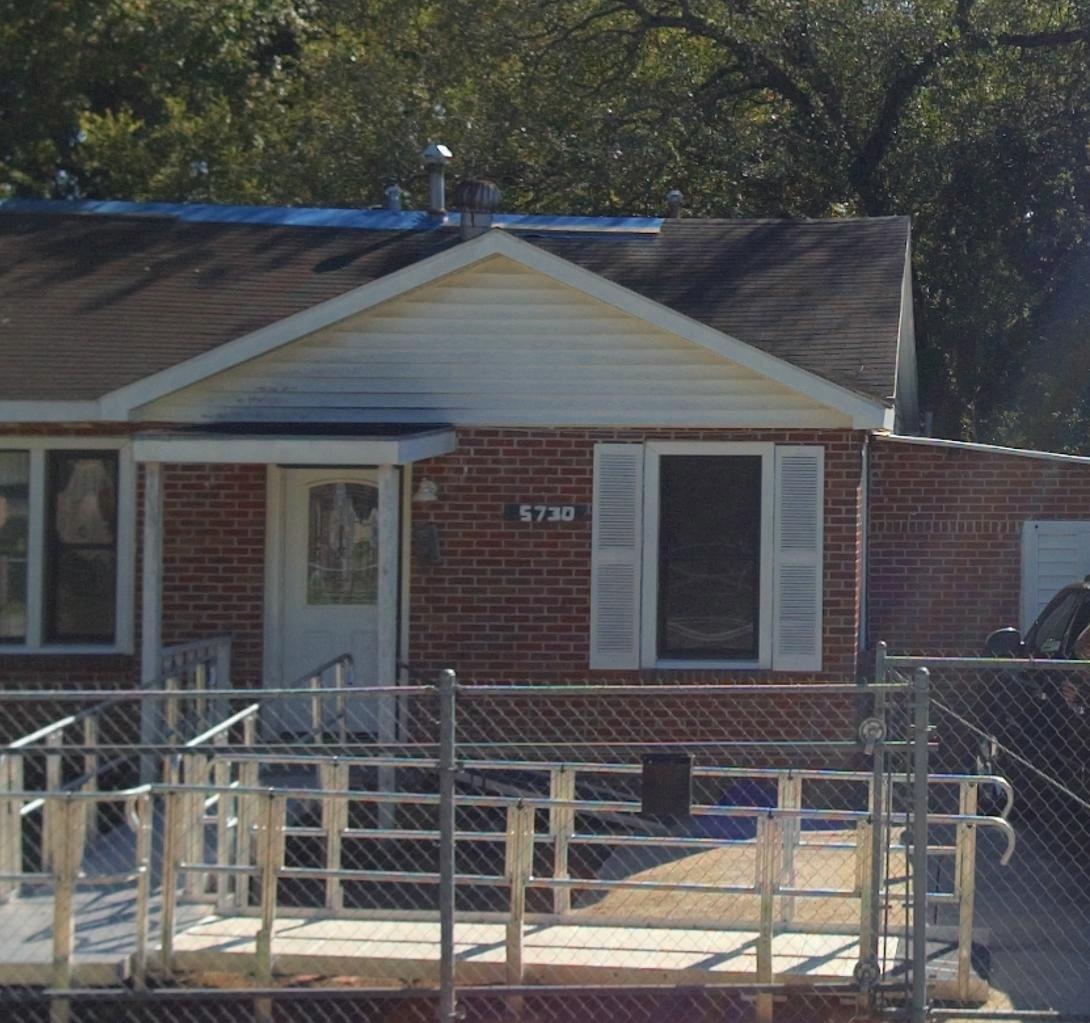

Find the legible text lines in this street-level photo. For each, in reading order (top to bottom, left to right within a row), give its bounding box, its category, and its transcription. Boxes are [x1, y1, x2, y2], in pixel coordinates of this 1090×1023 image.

[518, 504, 577, 523] StreetNumber: 5730